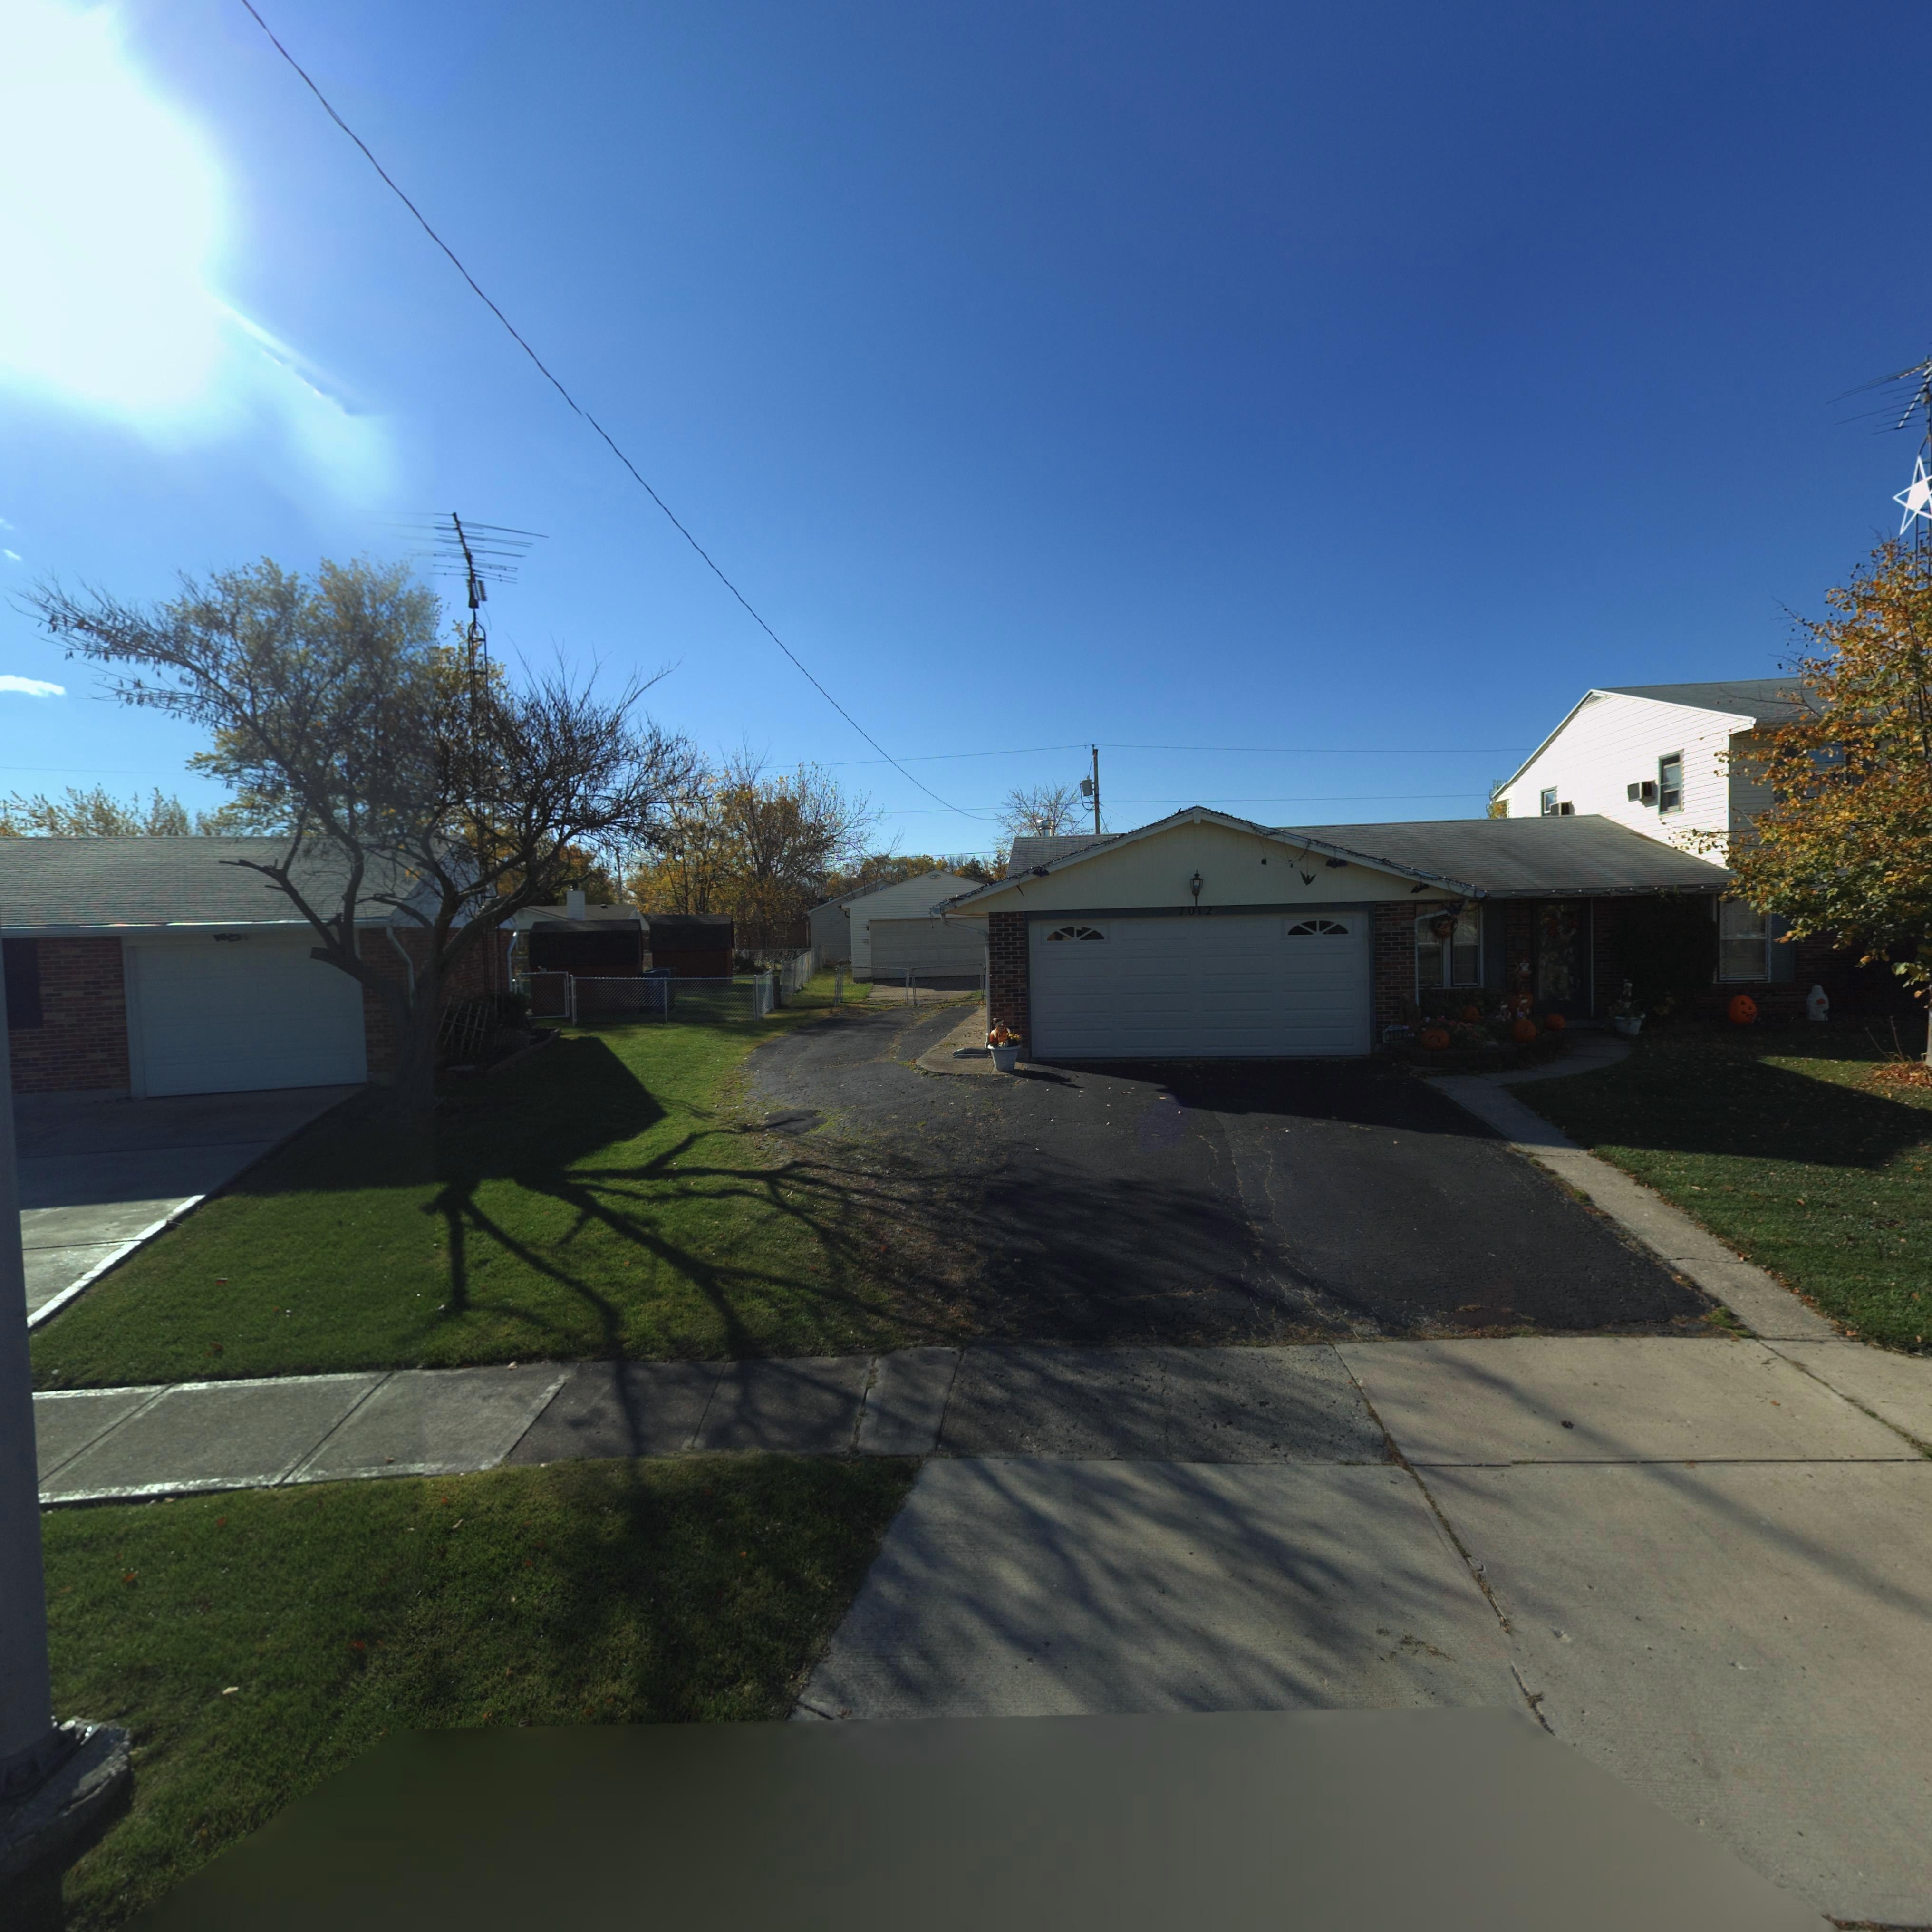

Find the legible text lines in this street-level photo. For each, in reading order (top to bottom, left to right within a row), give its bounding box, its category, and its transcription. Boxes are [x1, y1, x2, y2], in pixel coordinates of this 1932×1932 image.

[1178, 905, 1212, 916] StreetNumber: 7012
[243, 932, 250, 941] StreetNumber: 6
[1386, 1030, 1406, 1041] StreetNumber: 7012